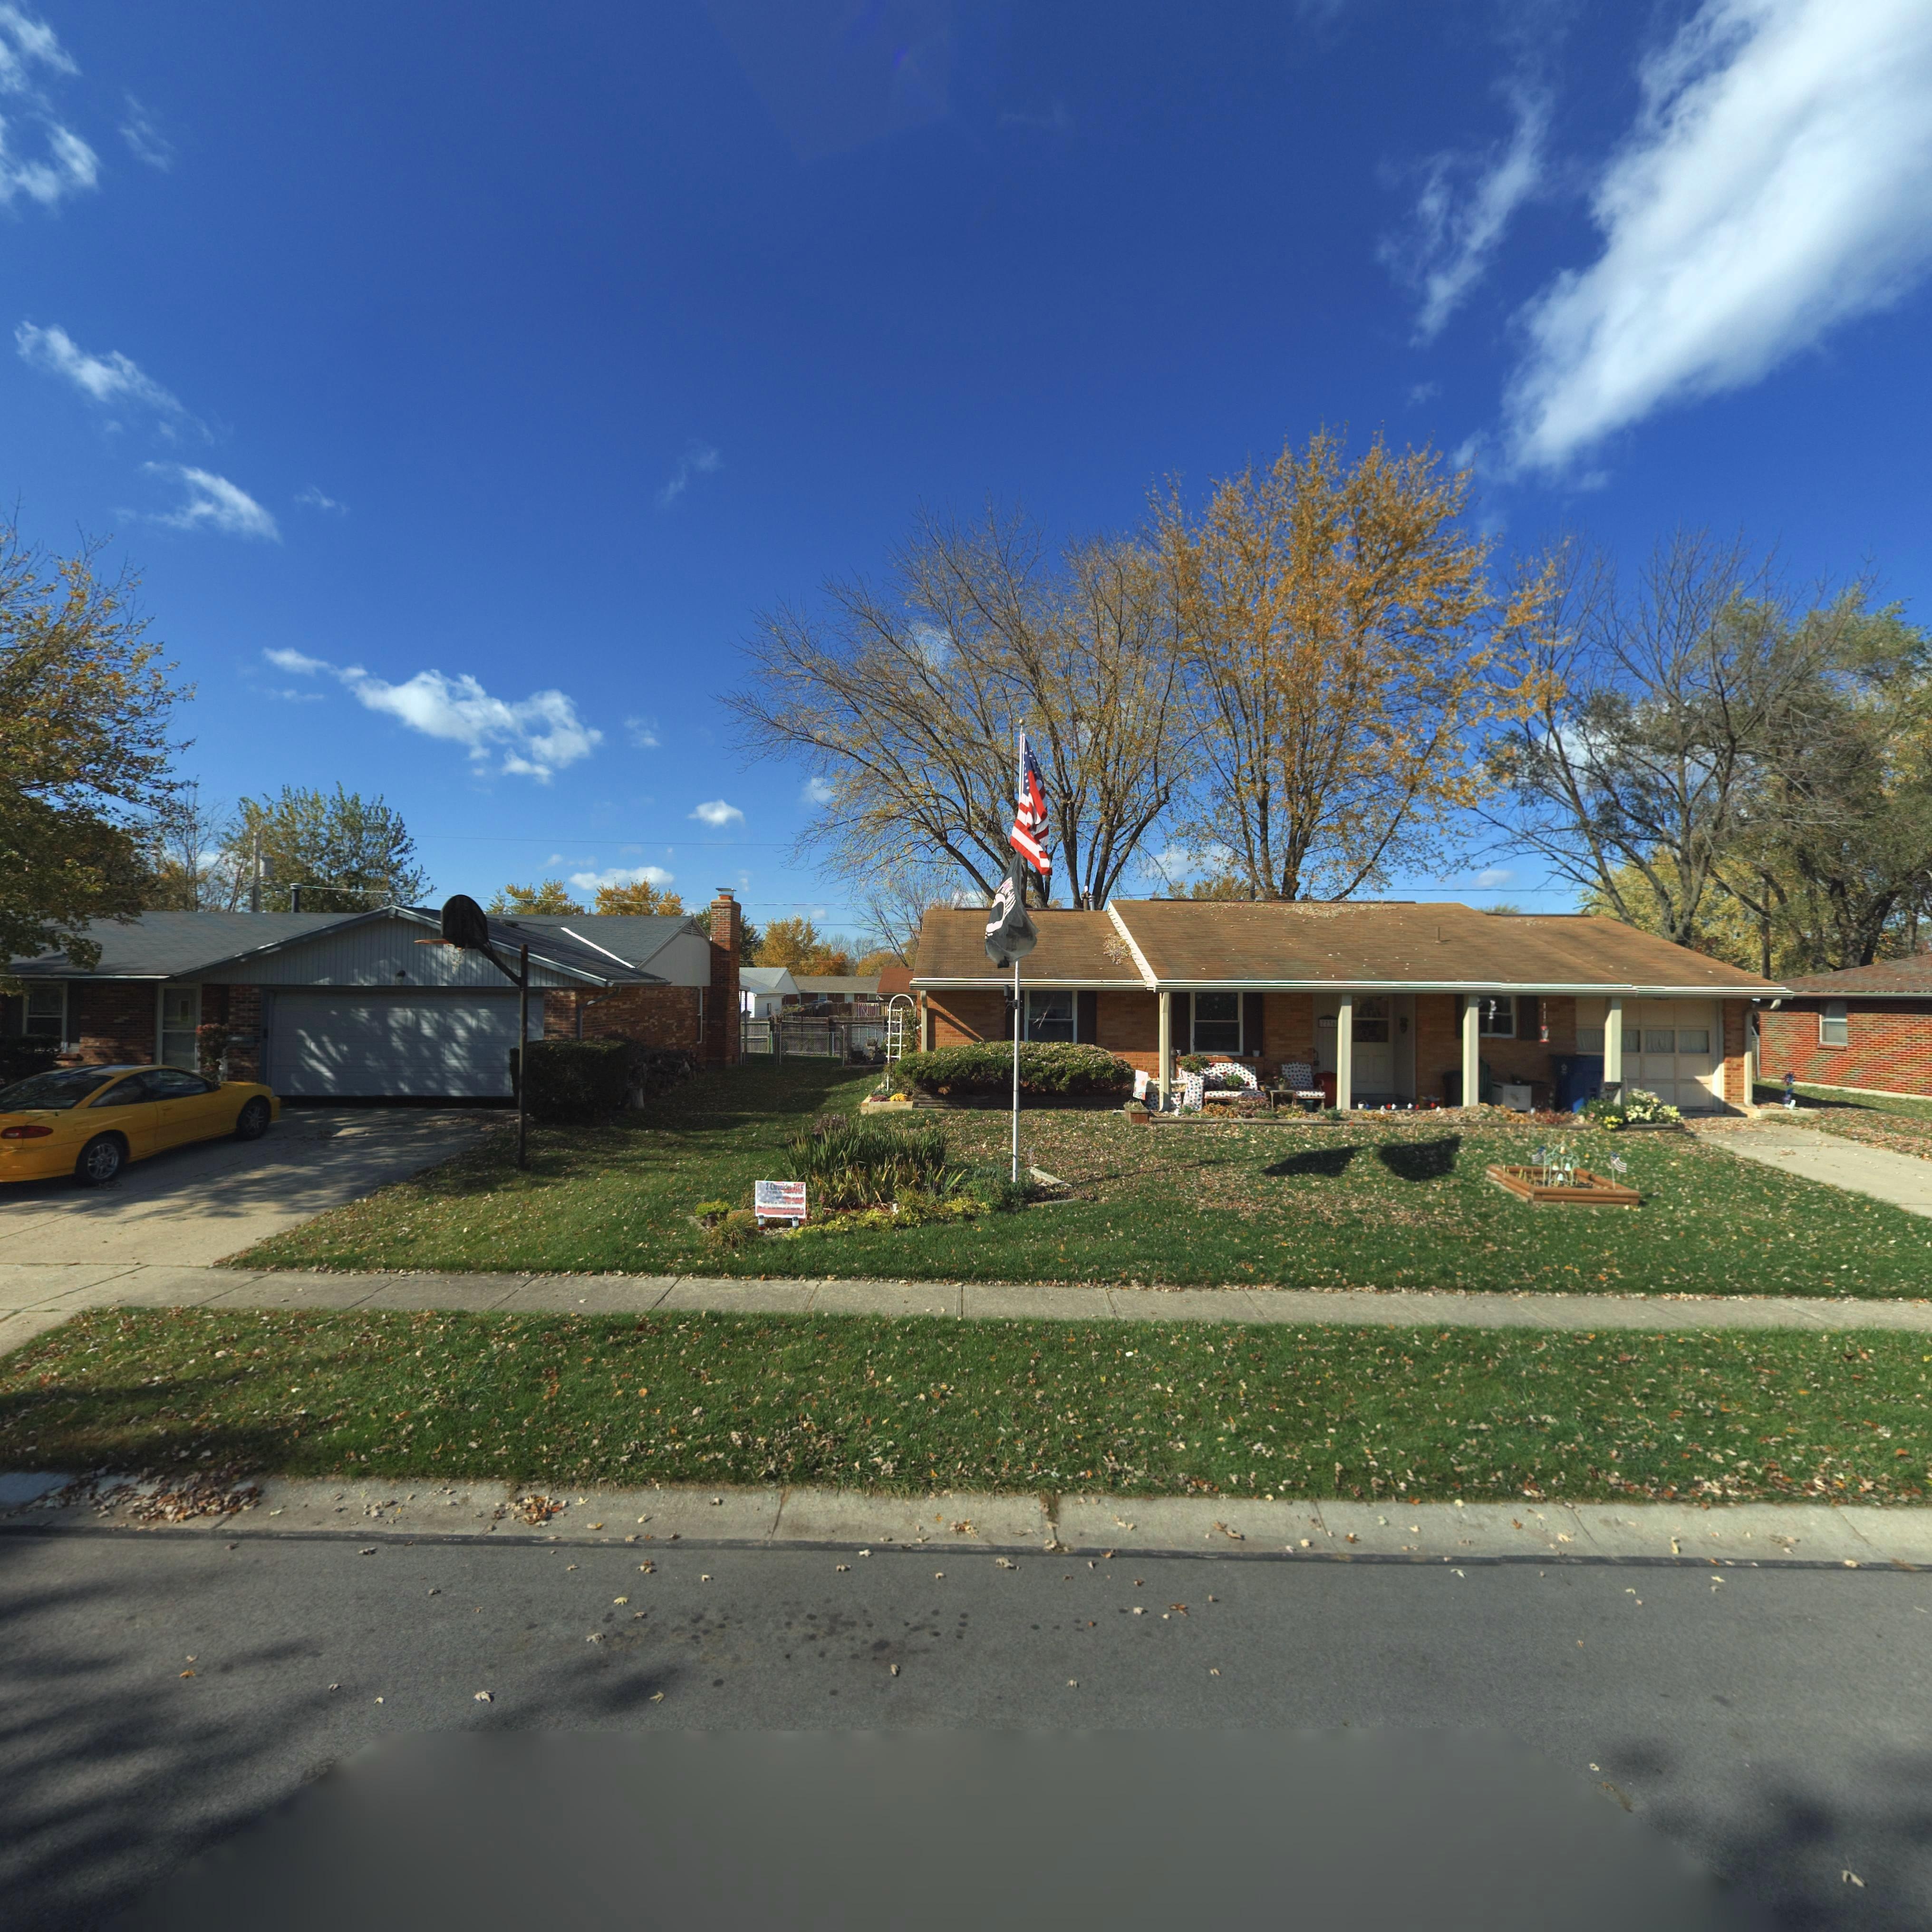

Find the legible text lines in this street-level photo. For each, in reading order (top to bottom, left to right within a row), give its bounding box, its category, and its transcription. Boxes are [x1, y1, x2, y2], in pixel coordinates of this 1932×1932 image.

[1321, 1020, 1336, 1027] StreetNumber: *7**